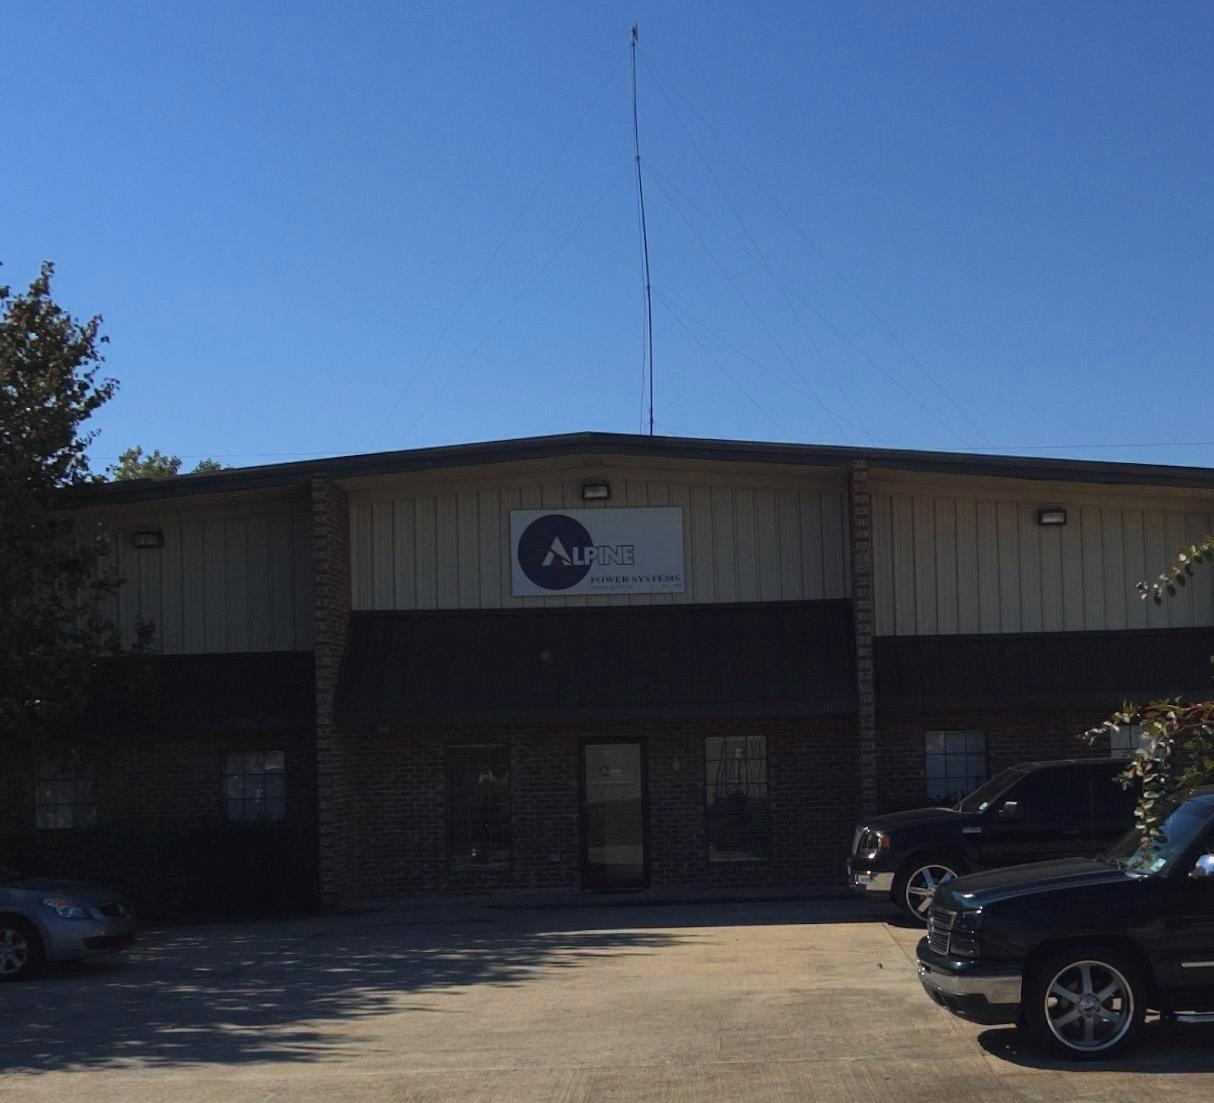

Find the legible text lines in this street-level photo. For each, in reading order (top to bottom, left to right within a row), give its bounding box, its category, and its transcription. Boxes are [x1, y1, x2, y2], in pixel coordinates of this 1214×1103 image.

[536, 532, 636, 569] BusinessName: ALPINE
[588, 573, 683, 586] BusinessName: POWER SYSTEMS